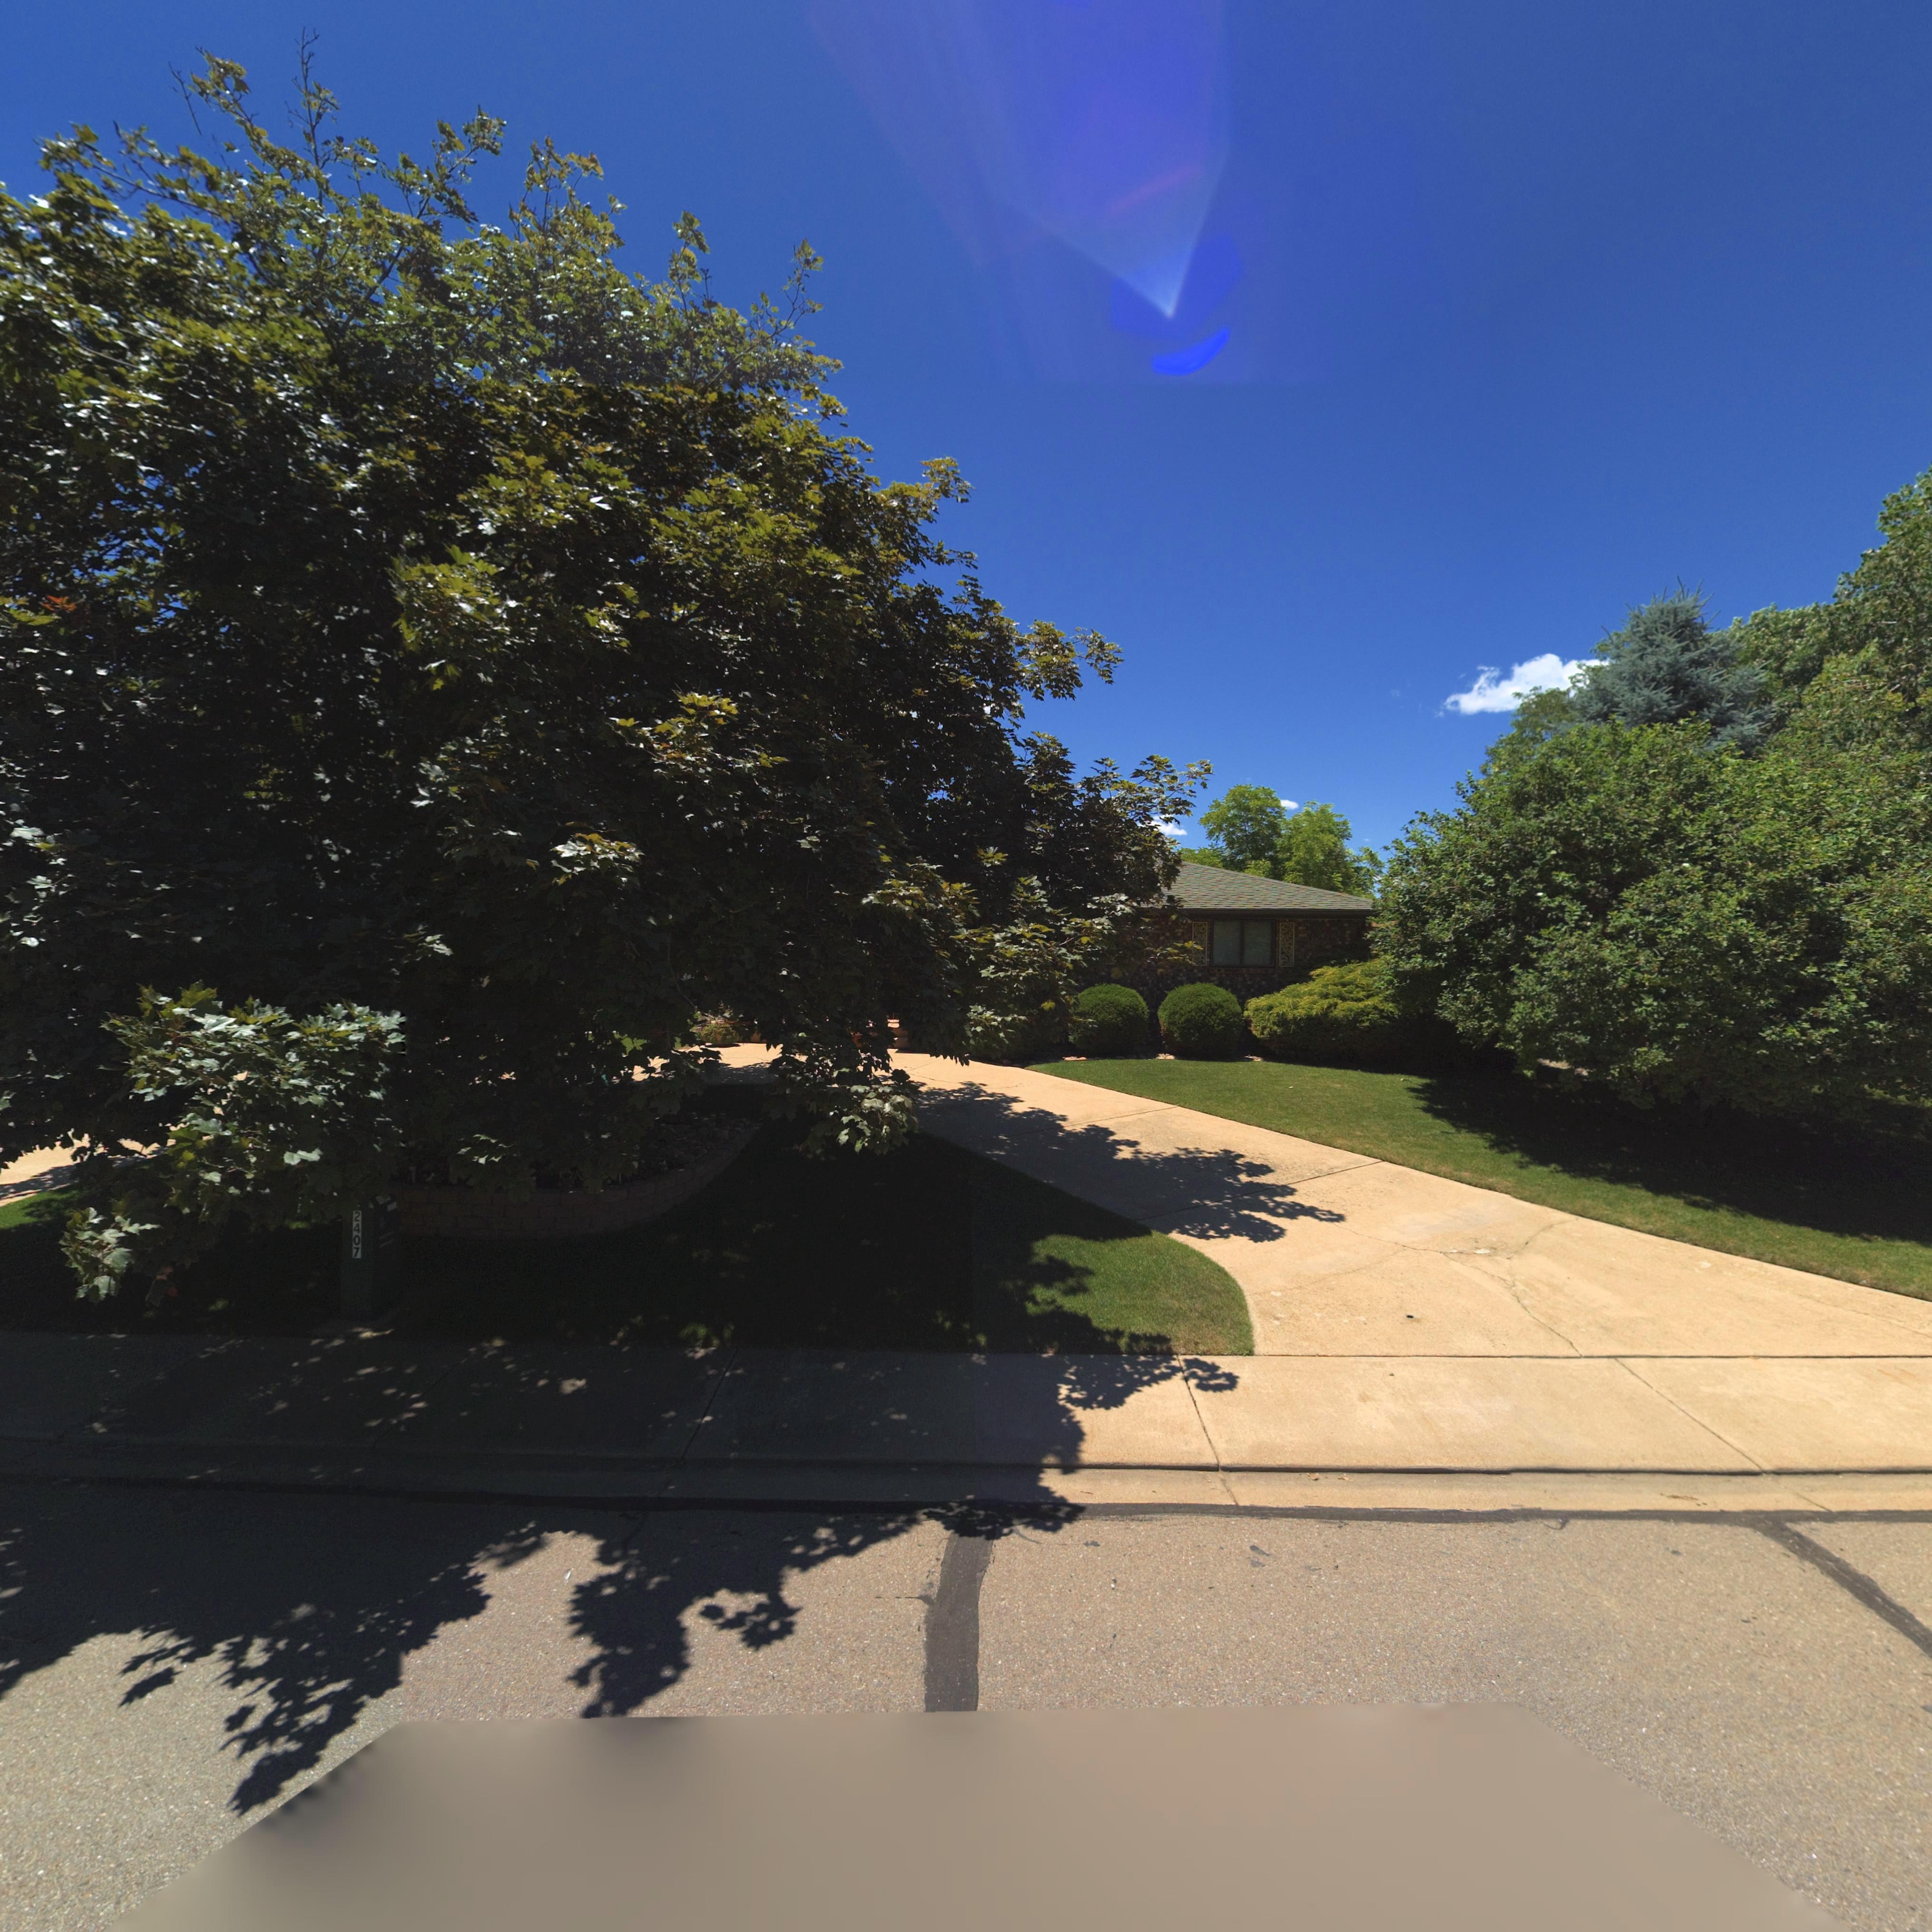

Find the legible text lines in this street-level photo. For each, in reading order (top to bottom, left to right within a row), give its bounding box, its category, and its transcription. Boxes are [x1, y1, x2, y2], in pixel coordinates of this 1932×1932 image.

[352, 1210, 361, 1258] StreetNumber: 2407